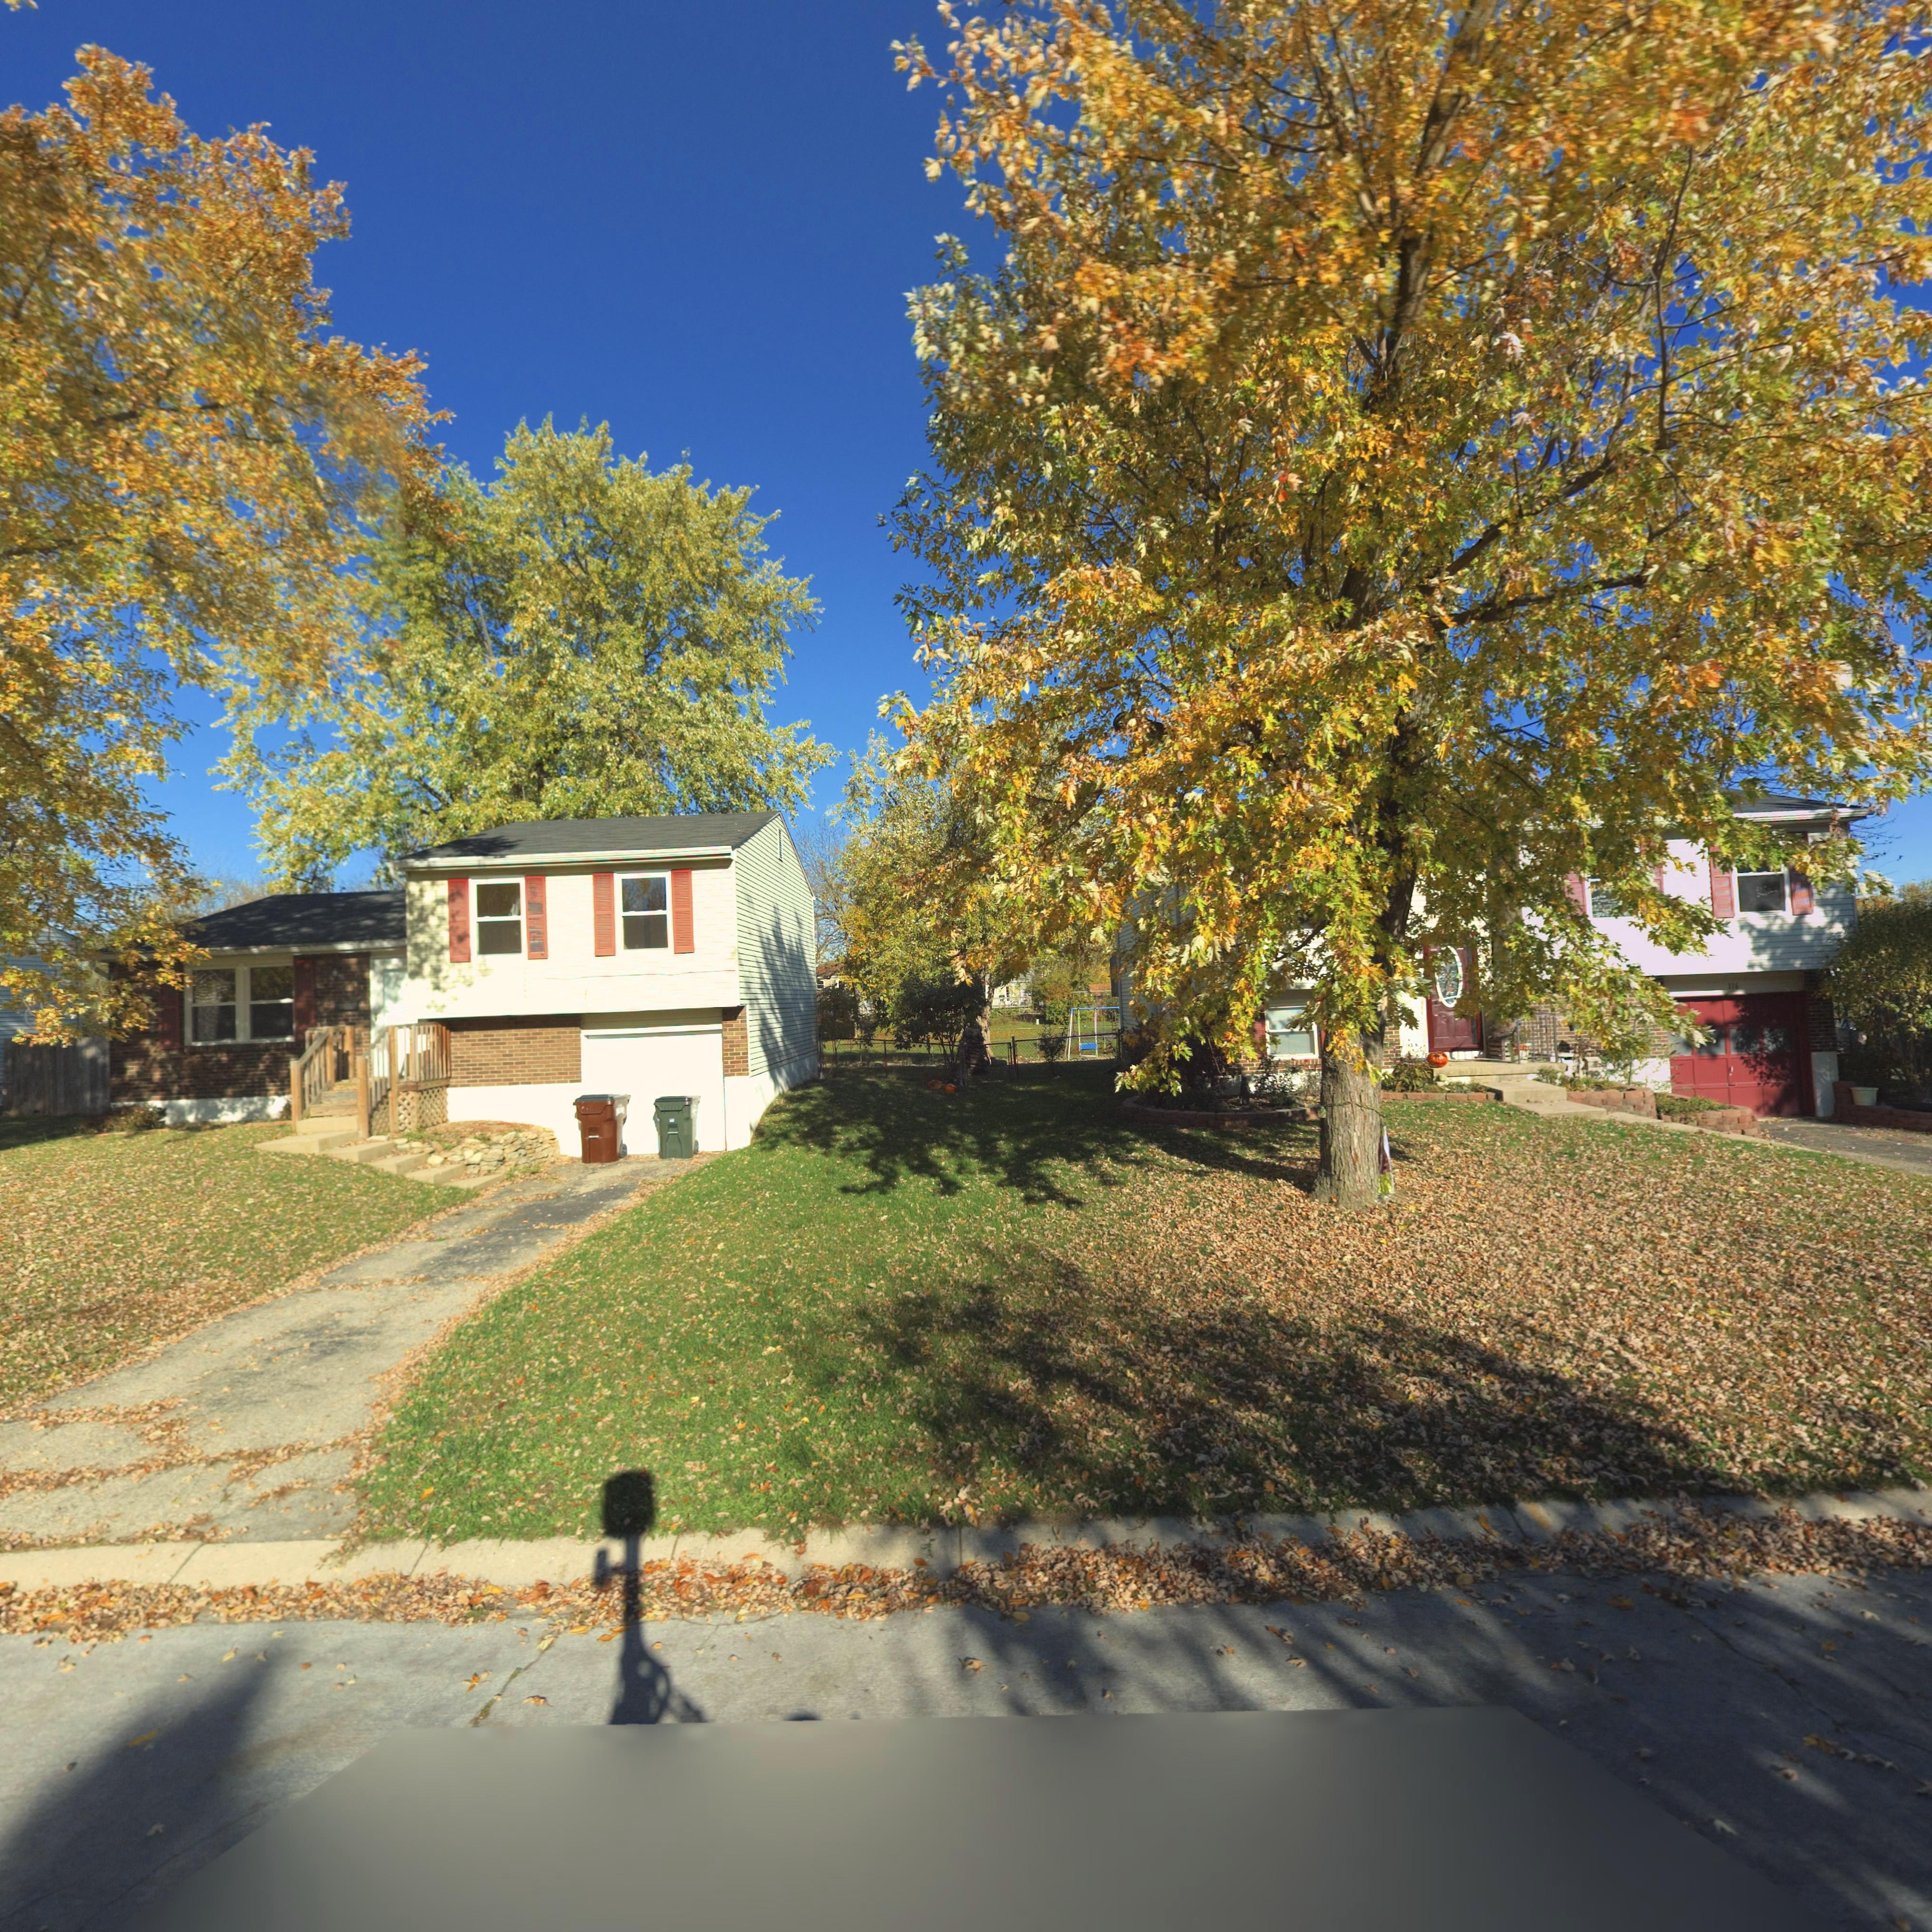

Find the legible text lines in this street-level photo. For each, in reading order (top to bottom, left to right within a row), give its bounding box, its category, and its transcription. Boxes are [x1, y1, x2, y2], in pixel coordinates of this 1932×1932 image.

[1728, 982, 1739, 990] StreetNumber: 116